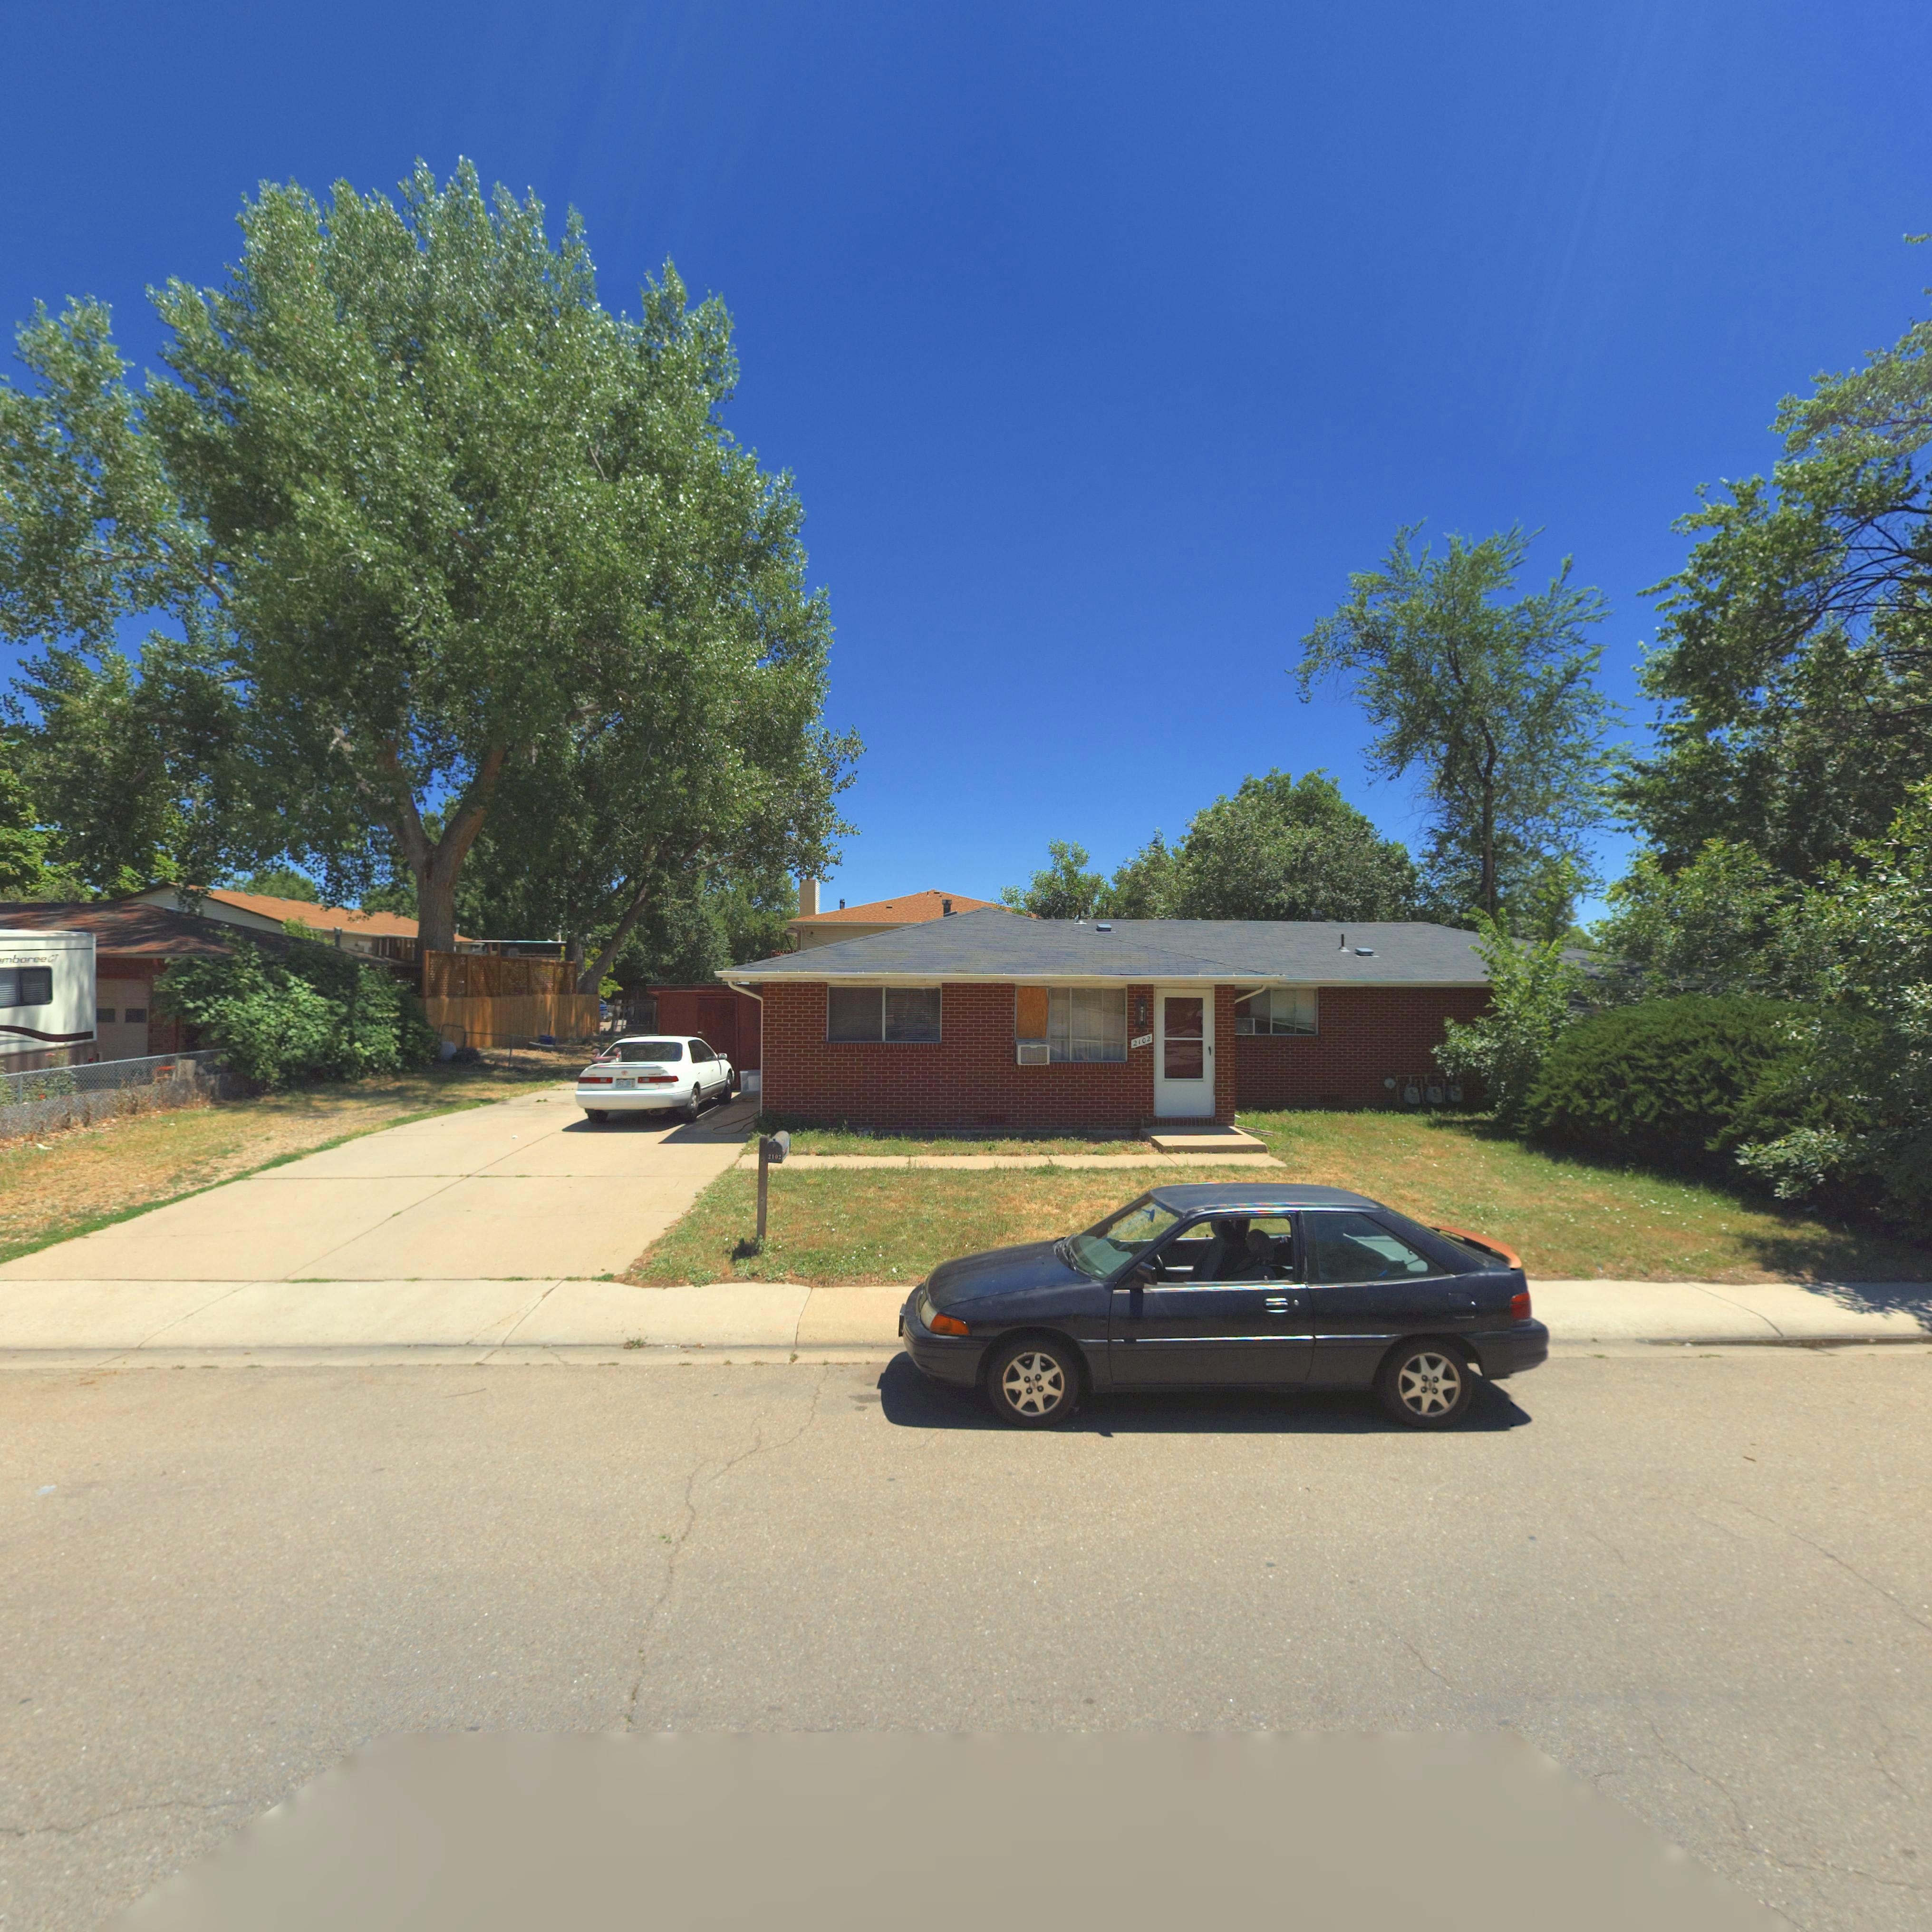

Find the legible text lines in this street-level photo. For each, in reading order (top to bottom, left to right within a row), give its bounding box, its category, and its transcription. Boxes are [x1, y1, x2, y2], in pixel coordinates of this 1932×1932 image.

[1132, 1034, 1151, 1048] StreetNumber: 2102
[767, 1153, 782, 1160] StreetNumber: 2102